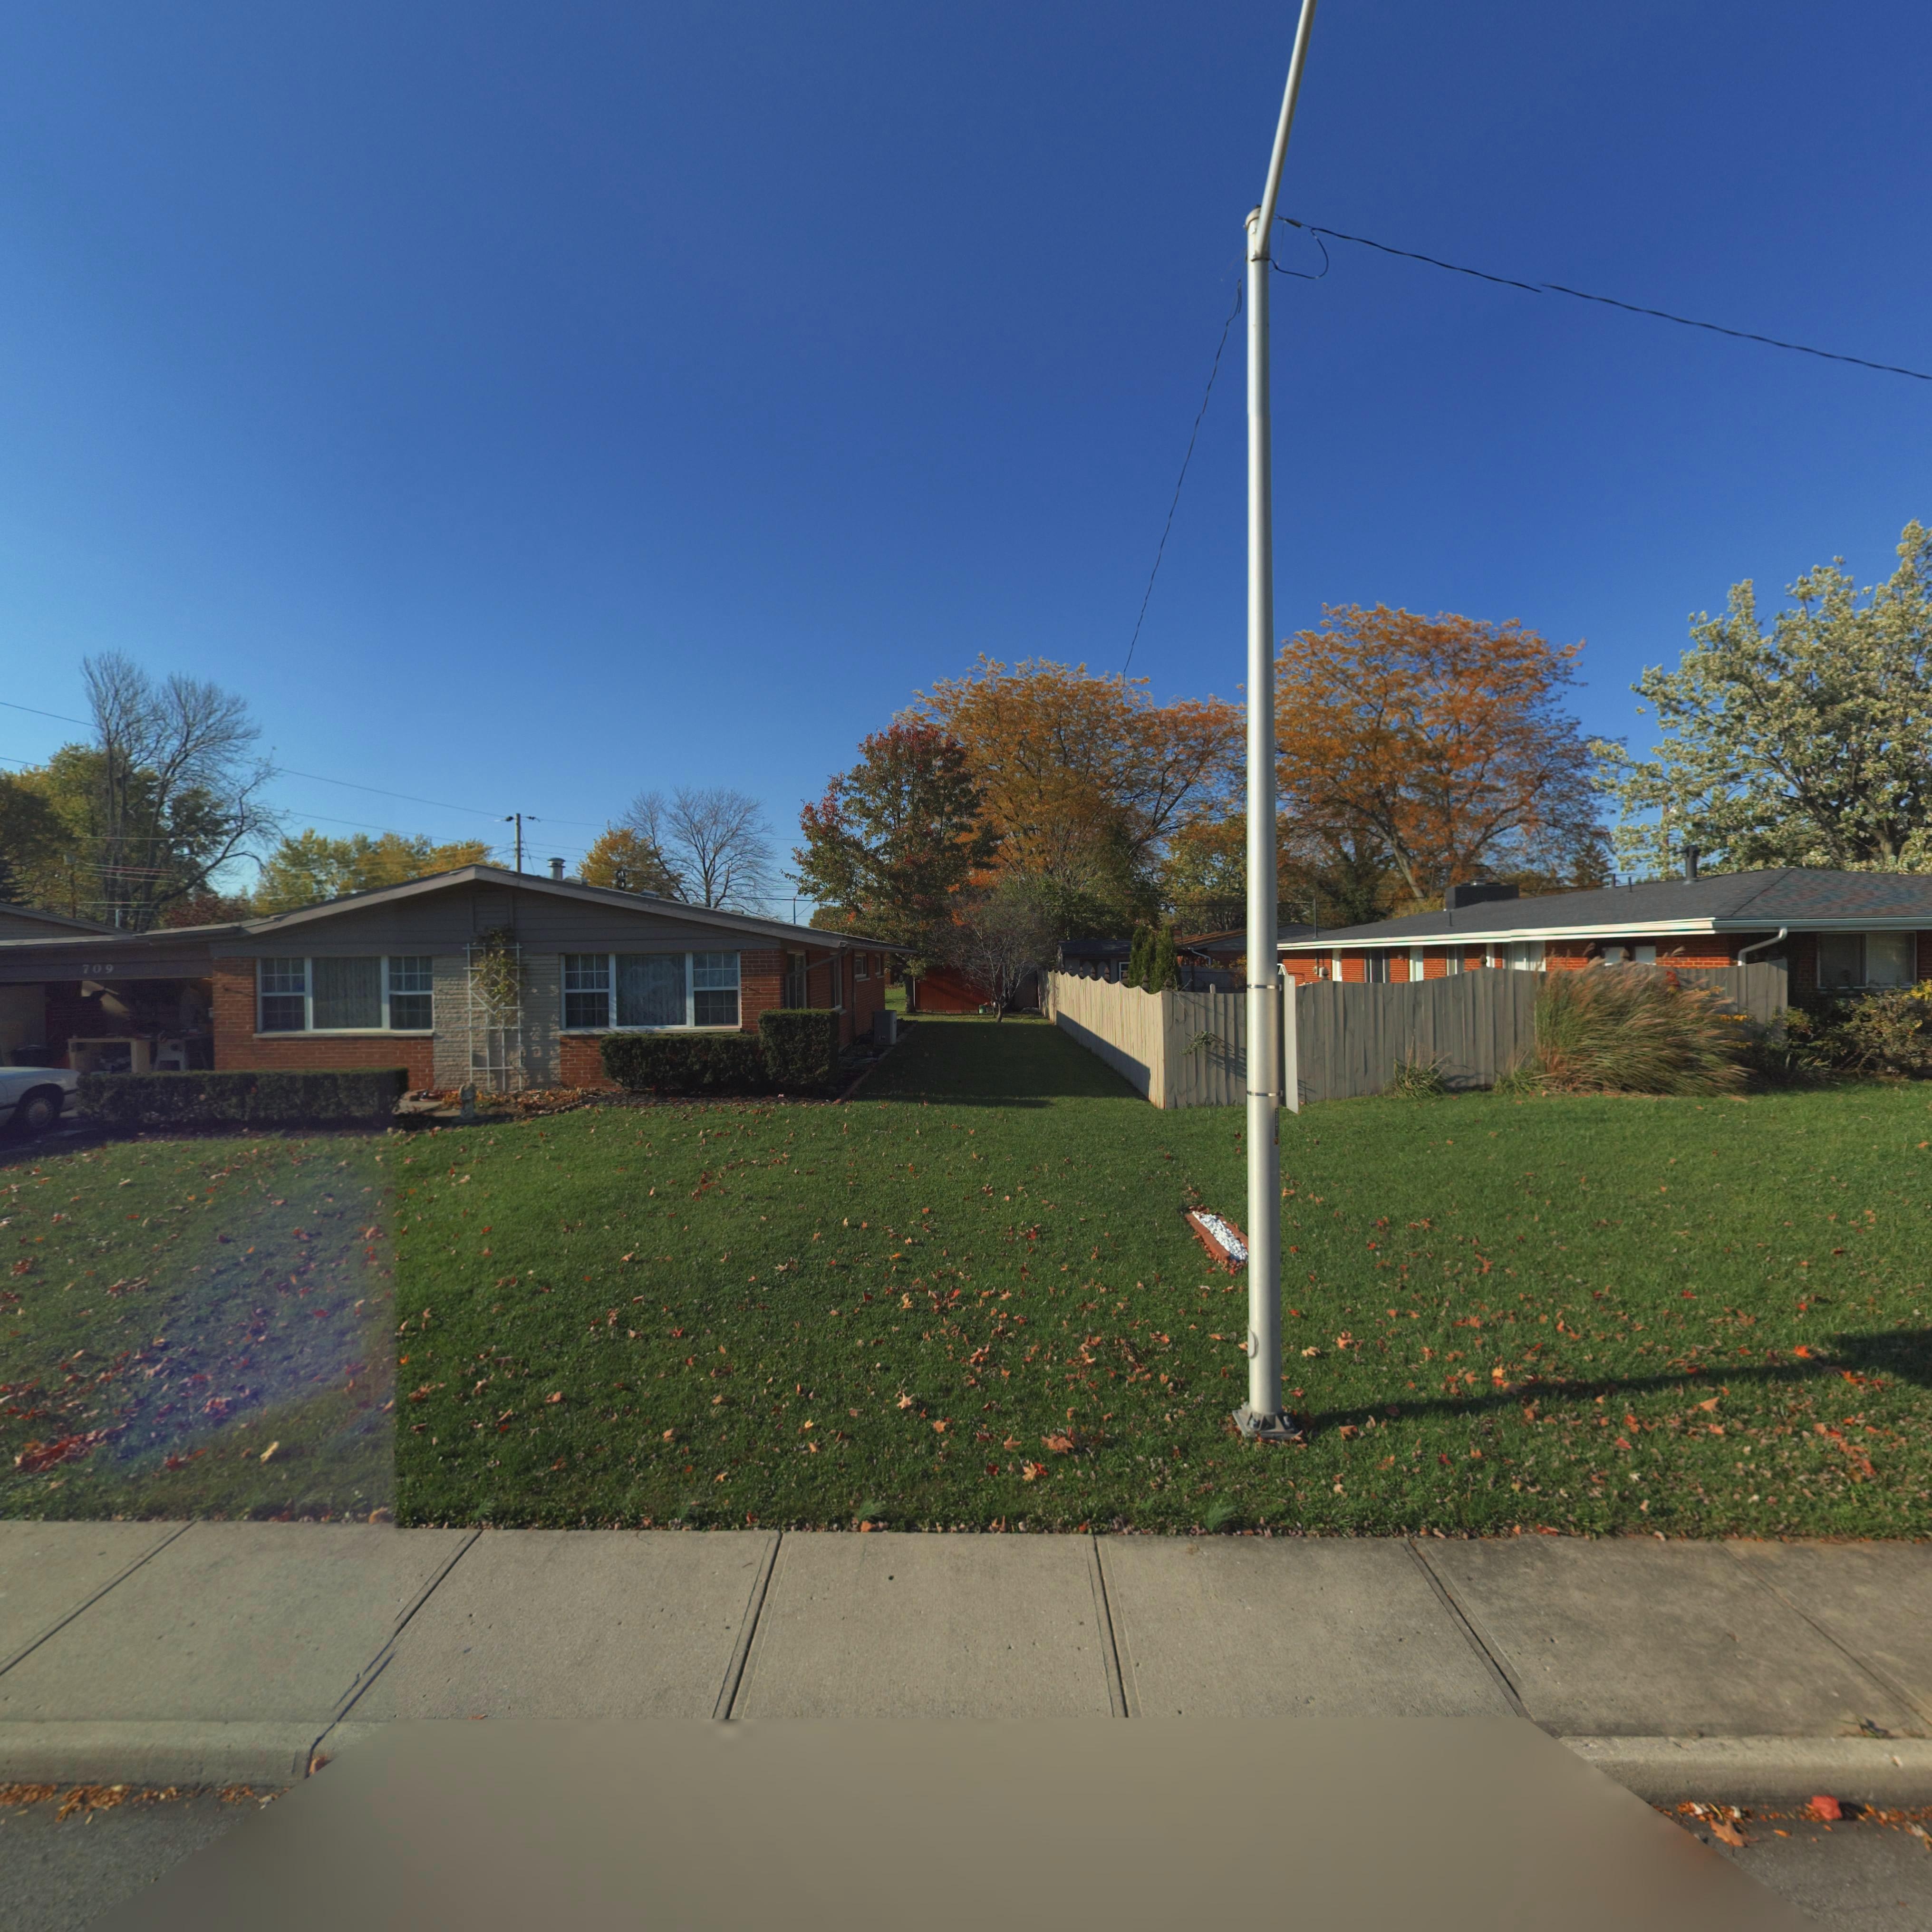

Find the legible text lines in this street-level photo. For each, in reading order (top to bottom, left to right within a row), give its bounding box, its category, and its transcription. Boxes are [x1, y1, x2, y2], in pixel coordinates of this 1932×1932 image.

[81, 963, 113, 974] StreetNumber: 709